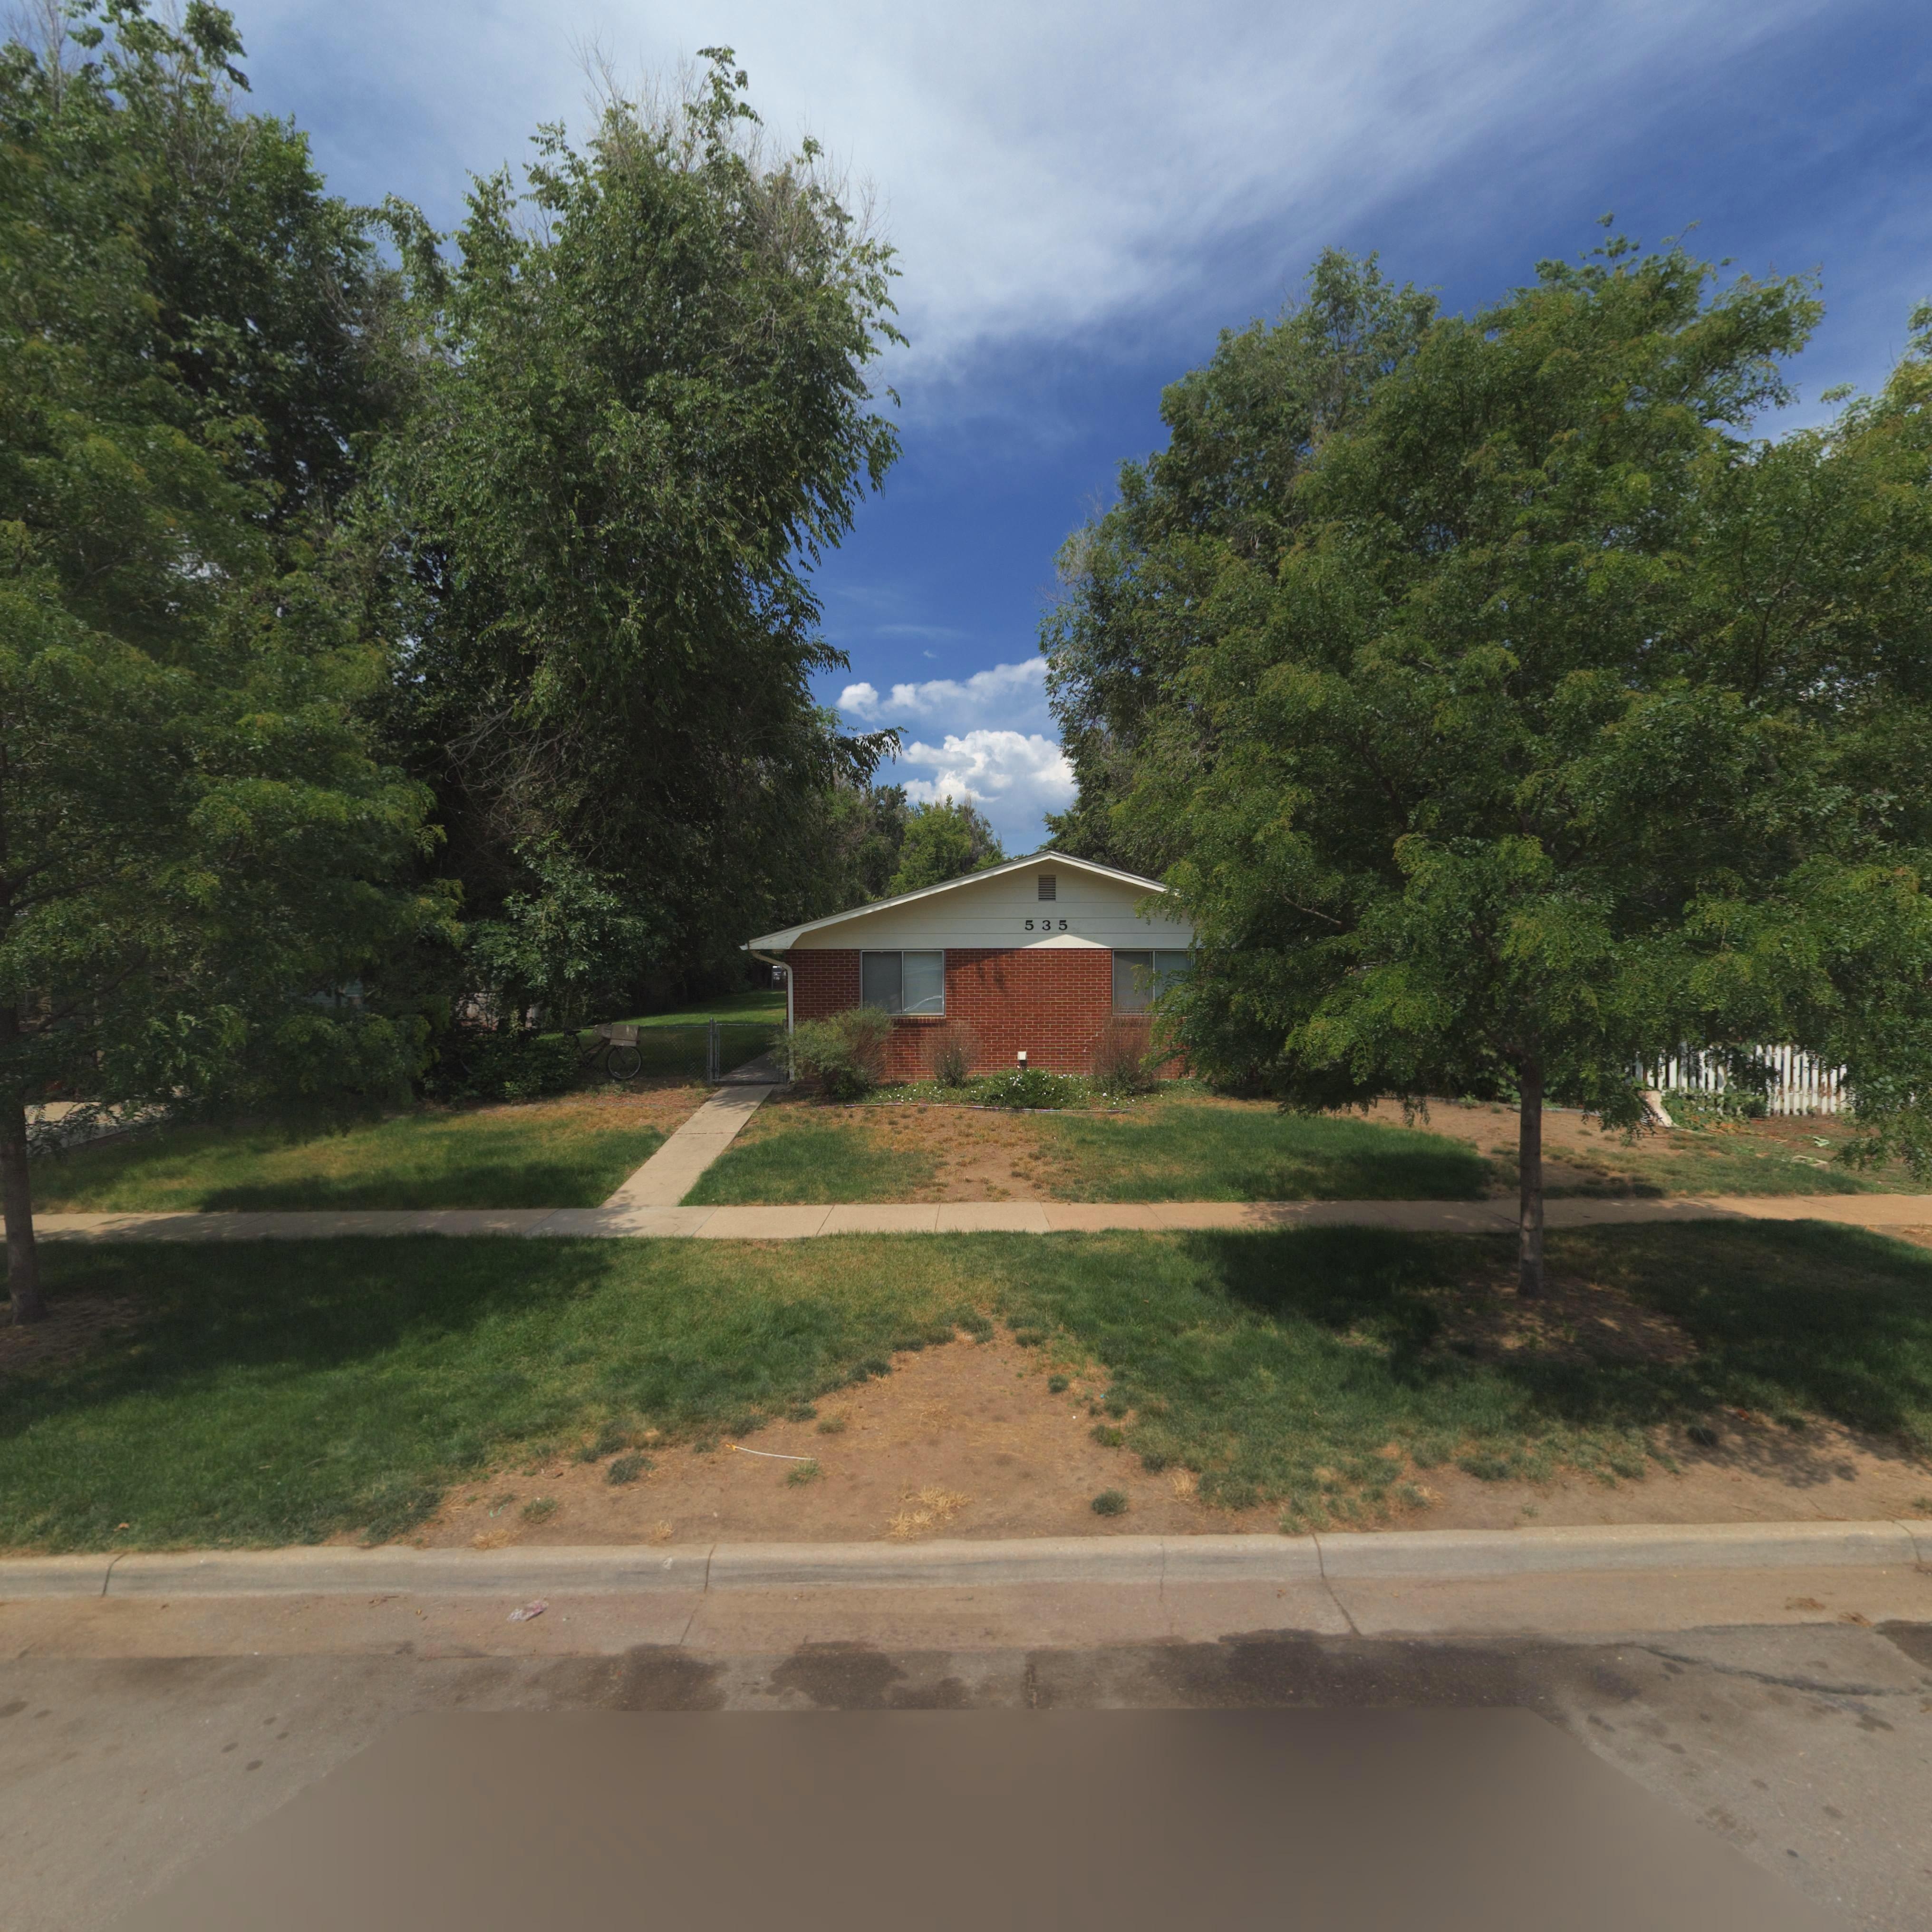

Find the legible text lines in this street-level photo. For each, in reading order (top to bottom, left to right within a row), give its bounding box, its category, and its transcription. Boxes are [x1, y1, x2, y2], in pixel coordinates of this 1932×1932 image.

[1024, 919, 1067, 930] StreetNumber: 535